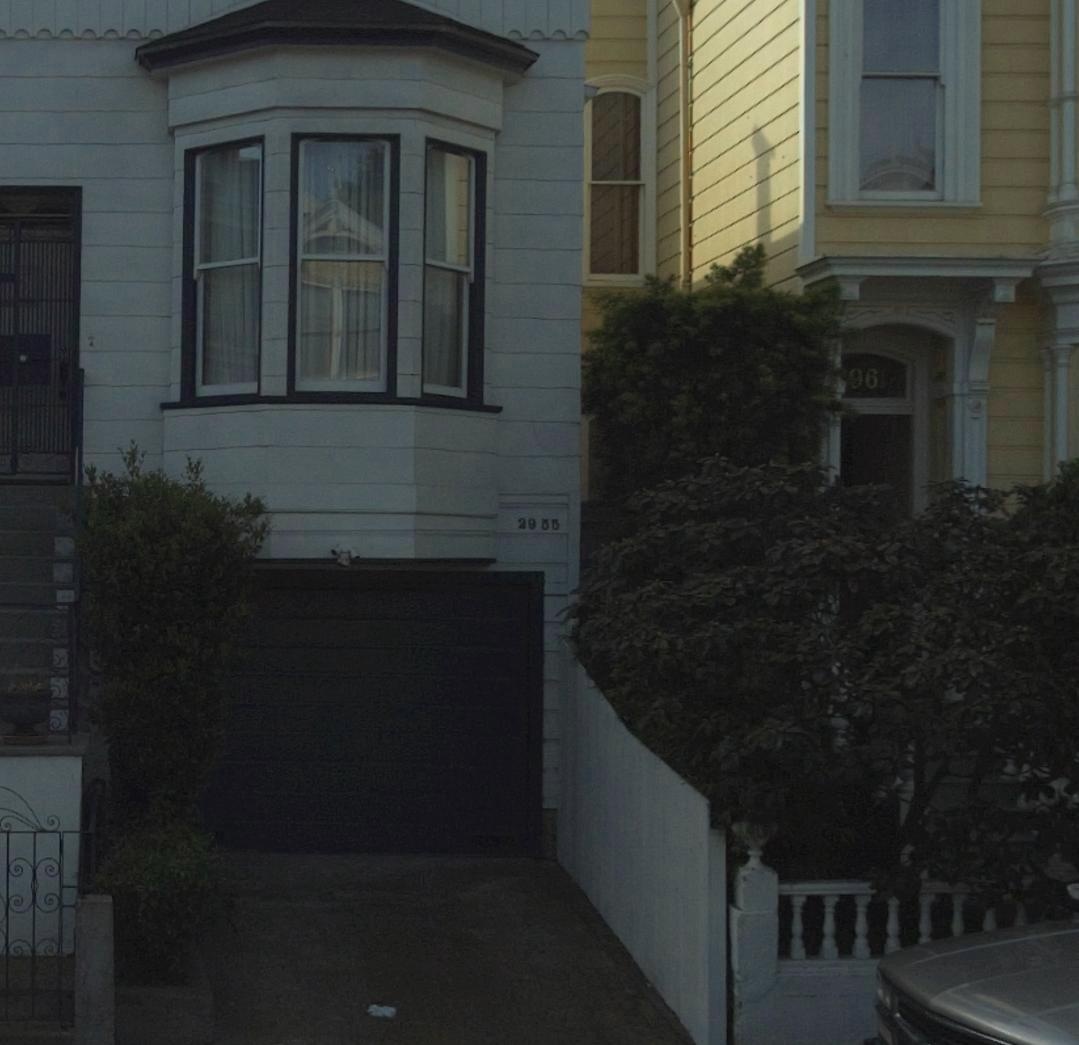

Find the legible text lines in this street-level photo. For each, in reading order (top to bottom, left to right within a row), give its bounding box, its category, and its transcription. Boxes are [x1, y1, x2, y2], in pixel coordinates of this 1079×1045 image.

[844, 365, 896, 392] StreetNumber: 96*
[515, 515, 562, 532] StreetNumber: 2955